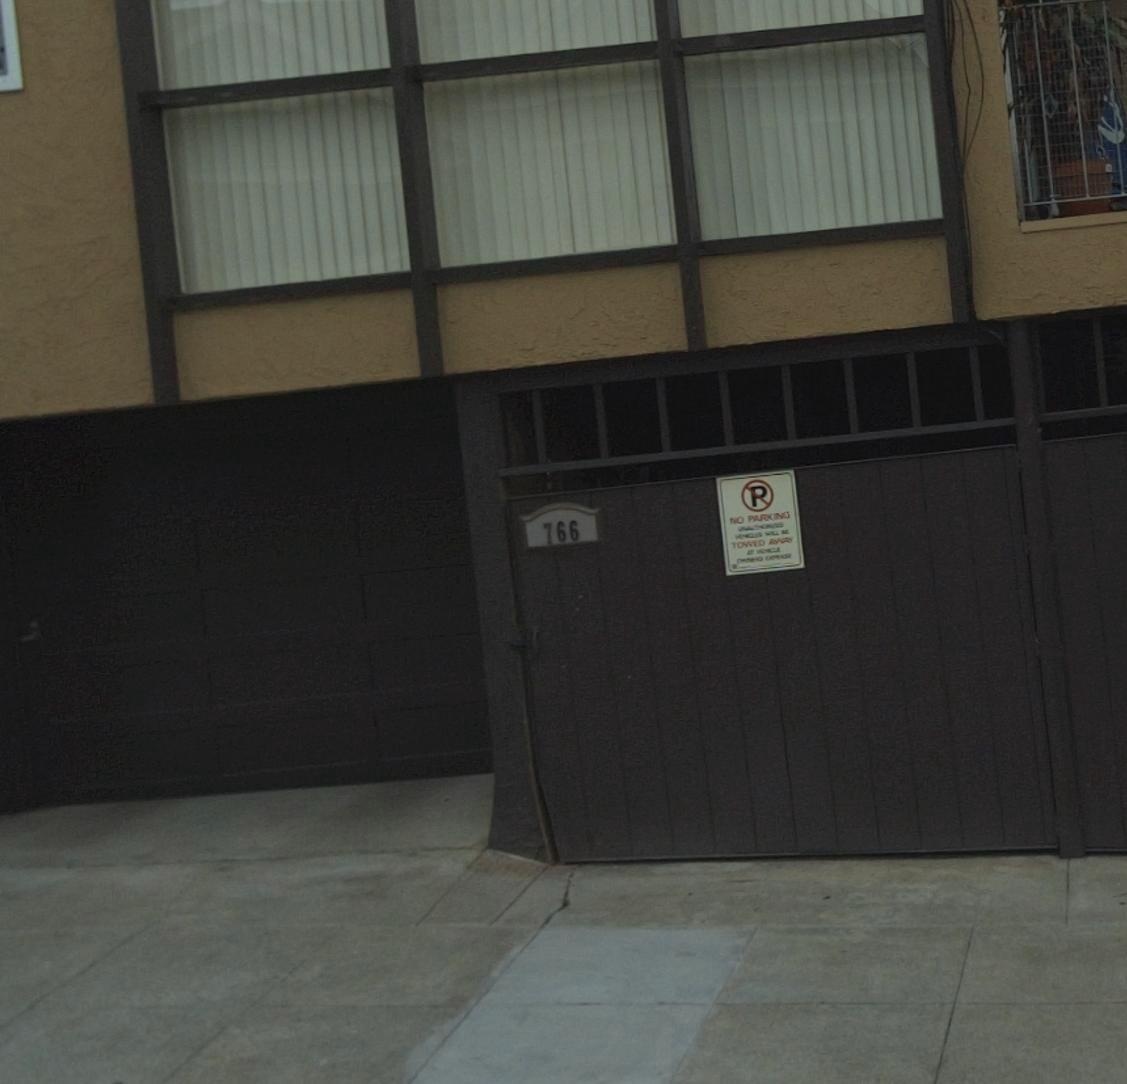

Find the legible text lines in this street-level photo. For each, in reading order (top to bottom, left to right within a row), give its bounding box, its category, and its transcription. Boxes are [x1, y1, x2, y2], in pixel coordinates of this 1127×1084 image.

[727, 509, 792, 527] None: NO PARKING
[541, 518, 581, 547] StreetNumber: 766
[730, 535, 794, 550] None: TOW** AWAY